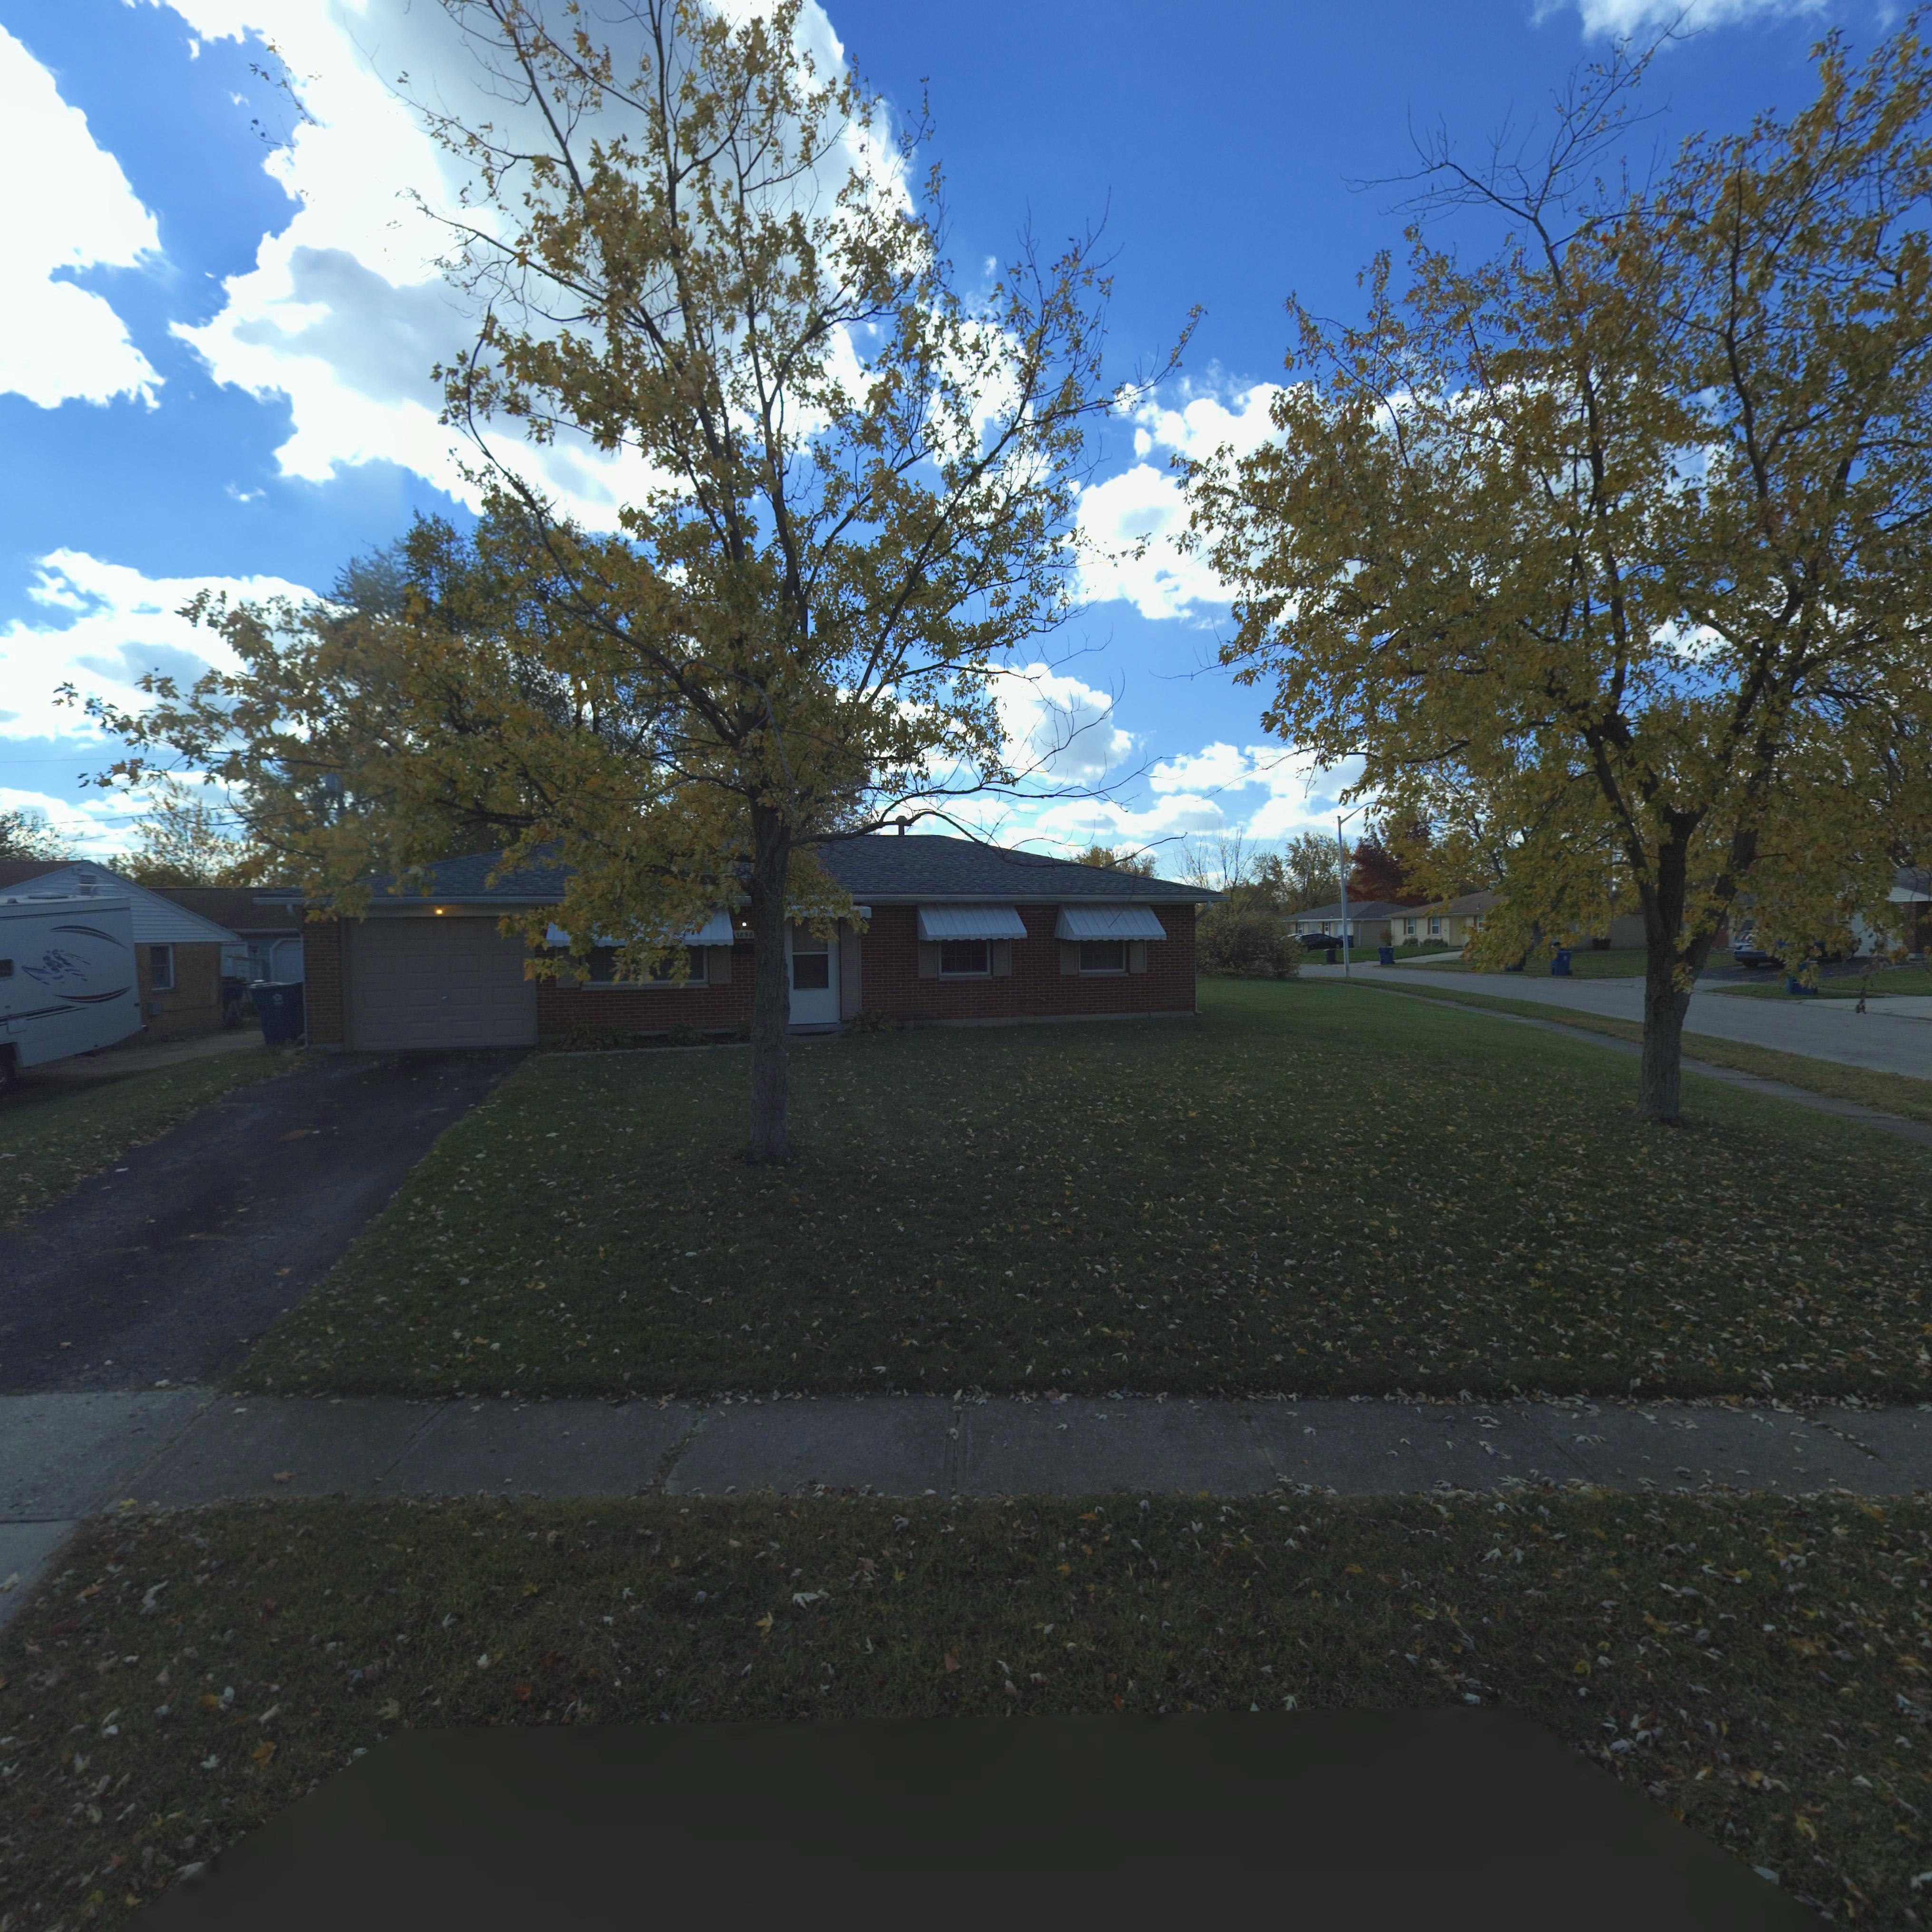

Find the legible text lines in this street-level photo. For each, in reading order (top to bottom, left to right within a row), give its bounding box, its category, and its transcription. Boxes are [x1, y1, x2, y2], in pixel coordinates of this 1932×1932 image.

[735, 931, 753, 937] StreetNumber: 7898